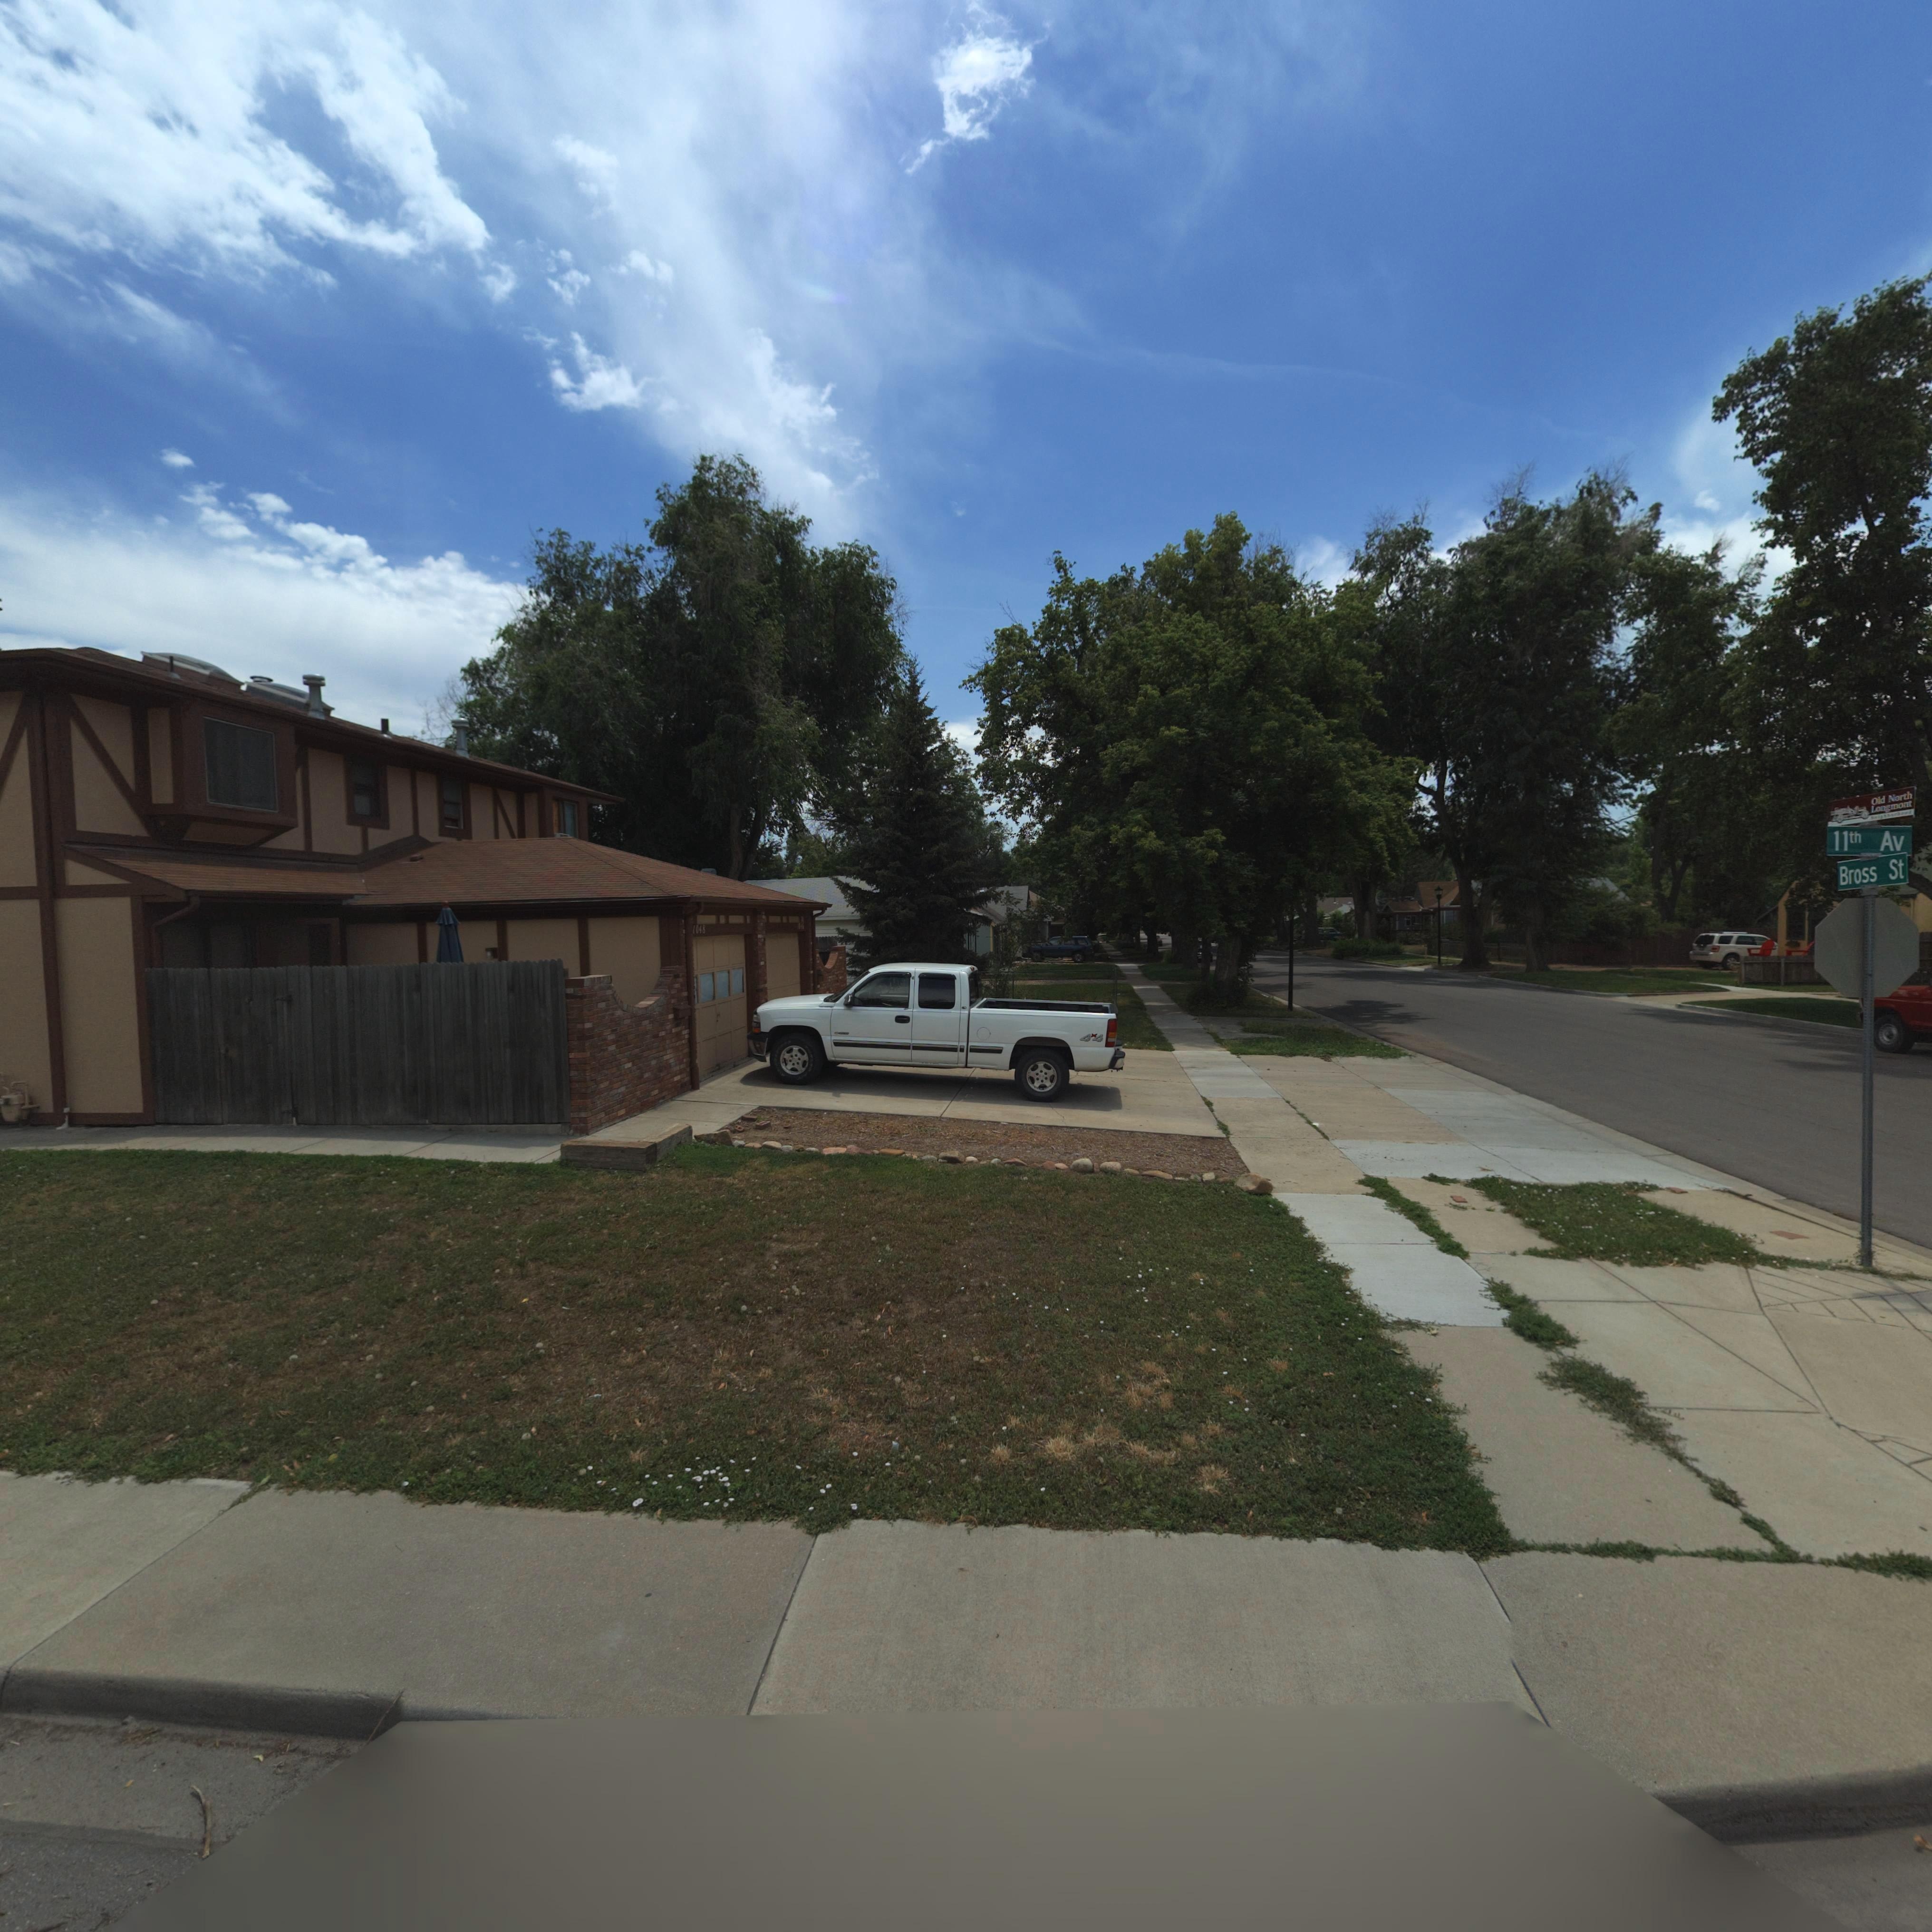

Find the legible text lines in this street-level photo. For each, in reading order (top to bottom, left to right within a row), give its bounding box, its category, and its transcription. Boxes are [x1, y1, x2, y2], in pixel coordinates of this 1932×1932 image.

[1833, 830, 1906, 851] StreetName: 11th Av
[1839, 858, 1905, 886] StreetName: Bross St
[692, 924, 705, 935] StreetNumber: 1048
[797, 922, 804, 930] StreetNumber: 1046